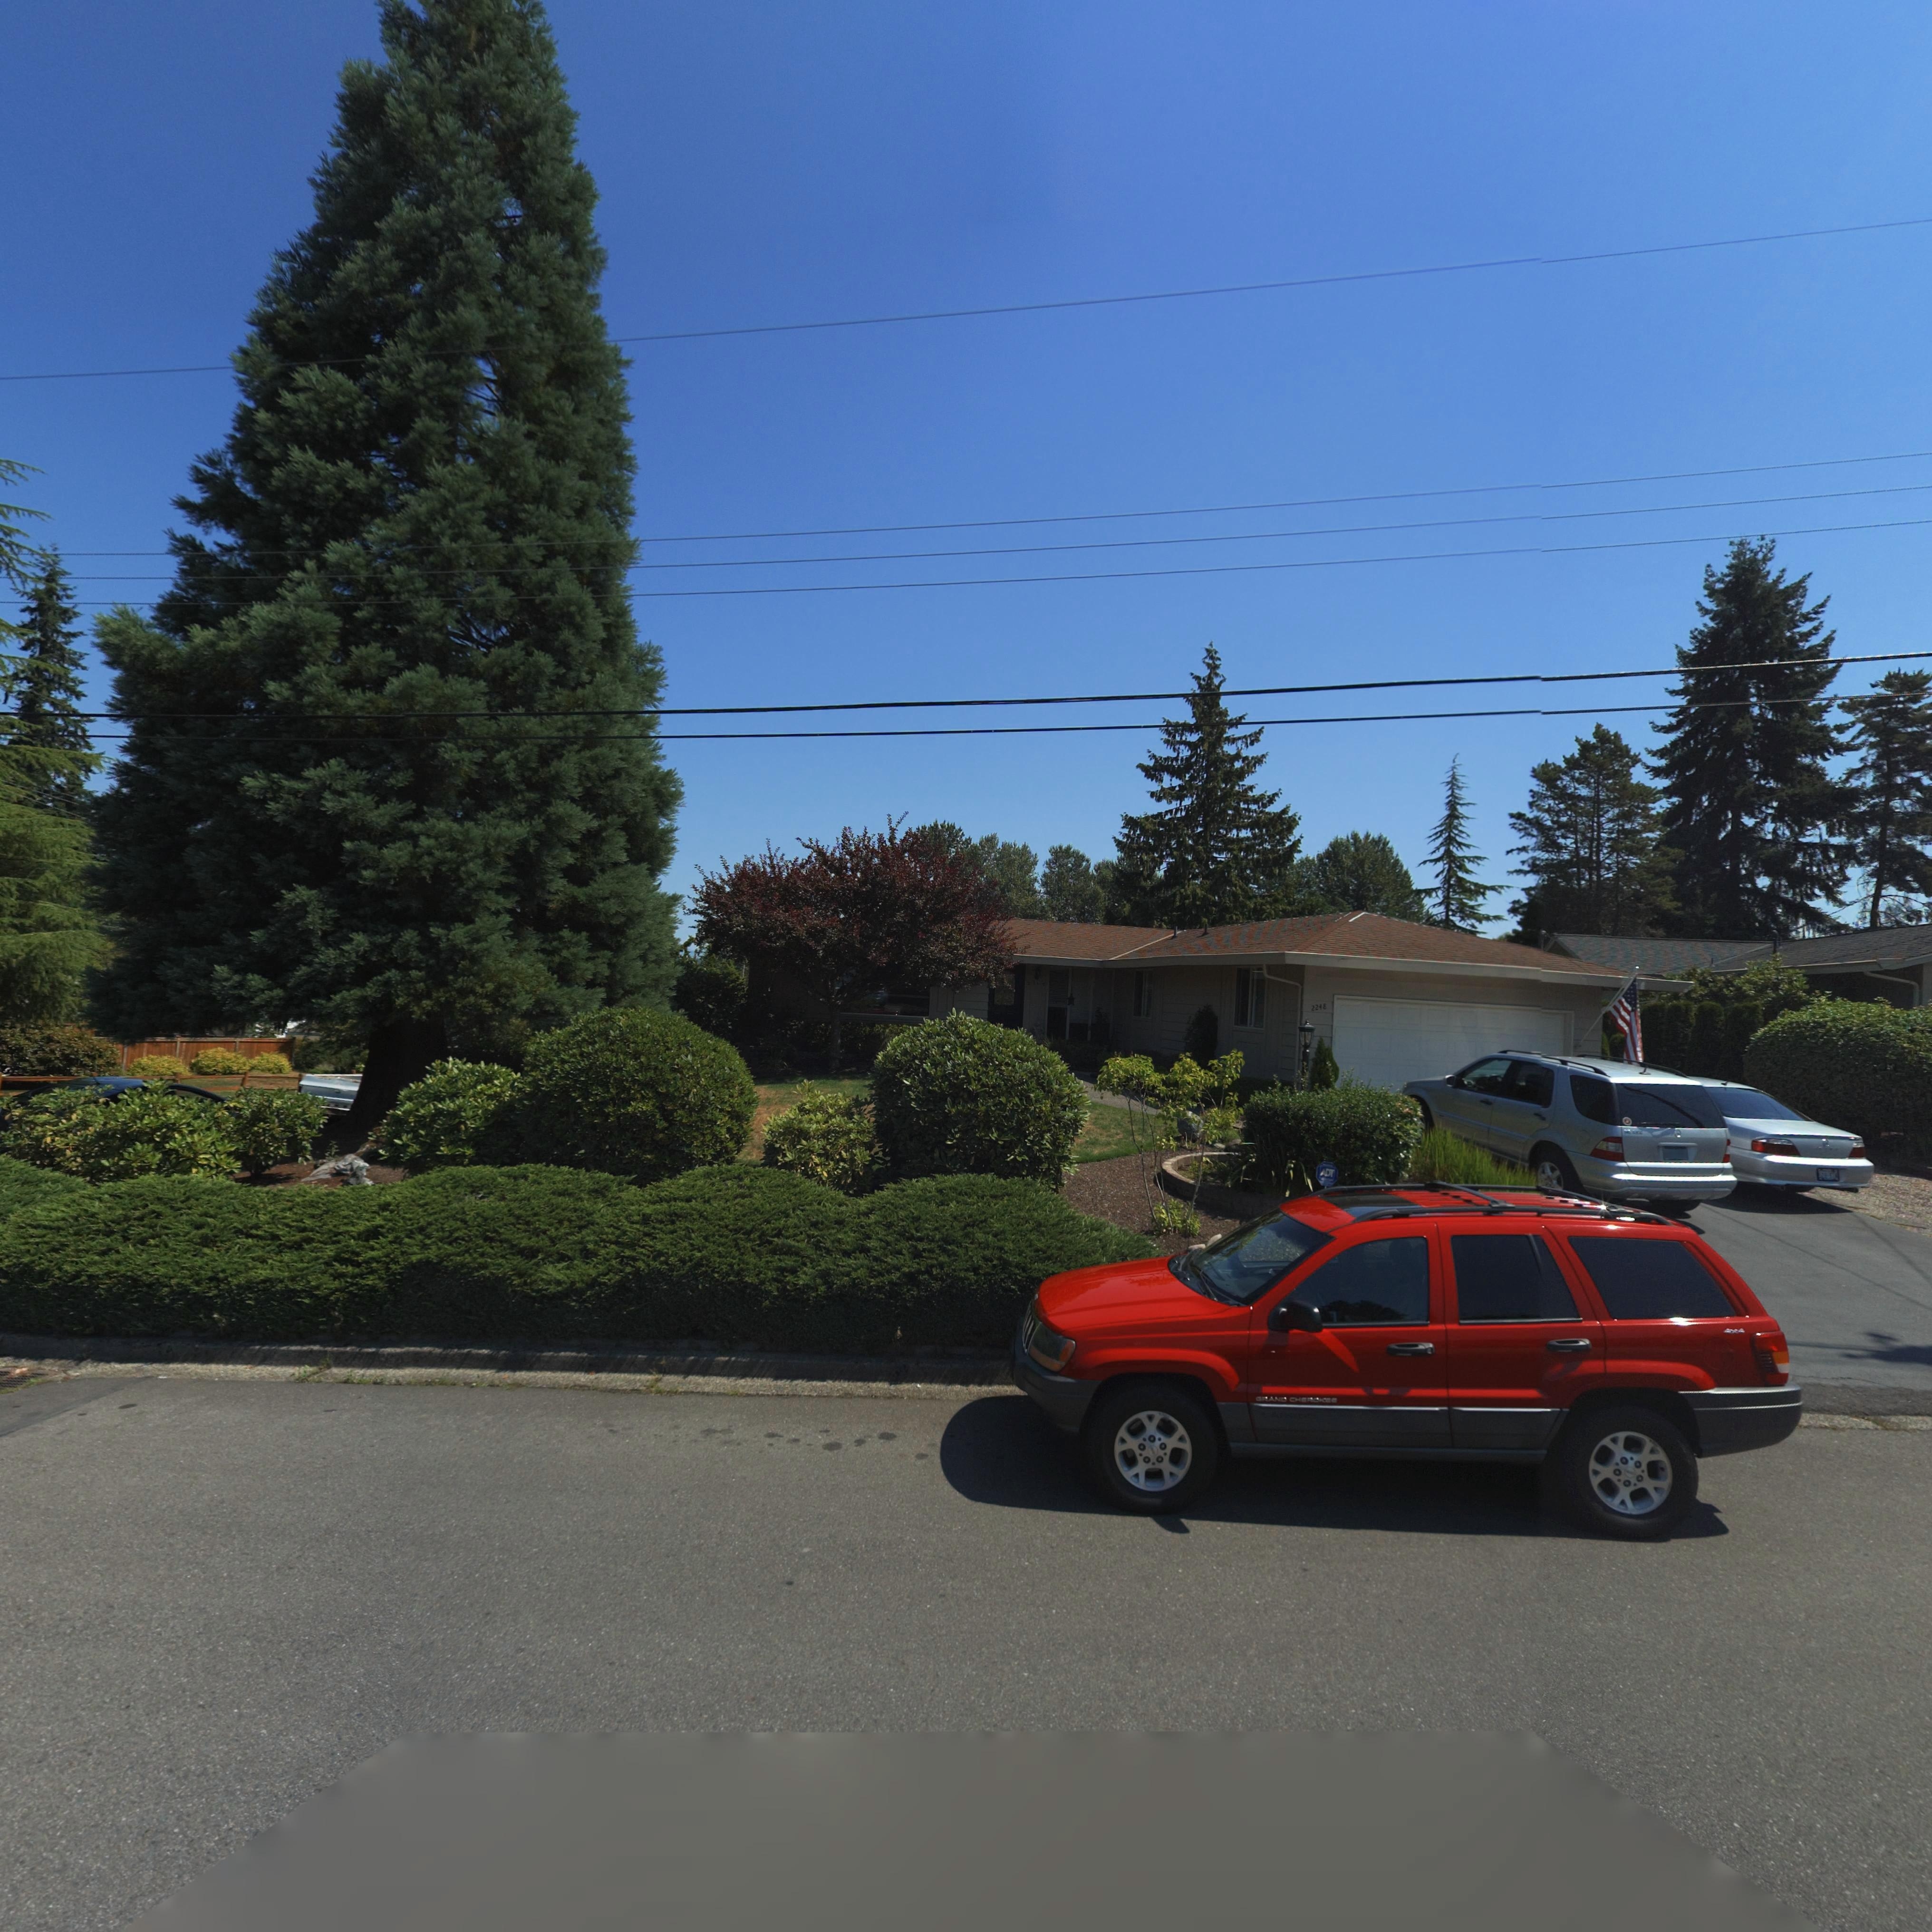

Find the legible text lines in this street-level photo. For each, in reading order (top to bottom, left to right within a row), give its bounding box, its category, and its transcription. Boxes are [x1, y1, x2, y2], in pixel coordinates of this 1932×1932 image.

[1311, 1002, 1326, 1012] StreetNumber: 2248